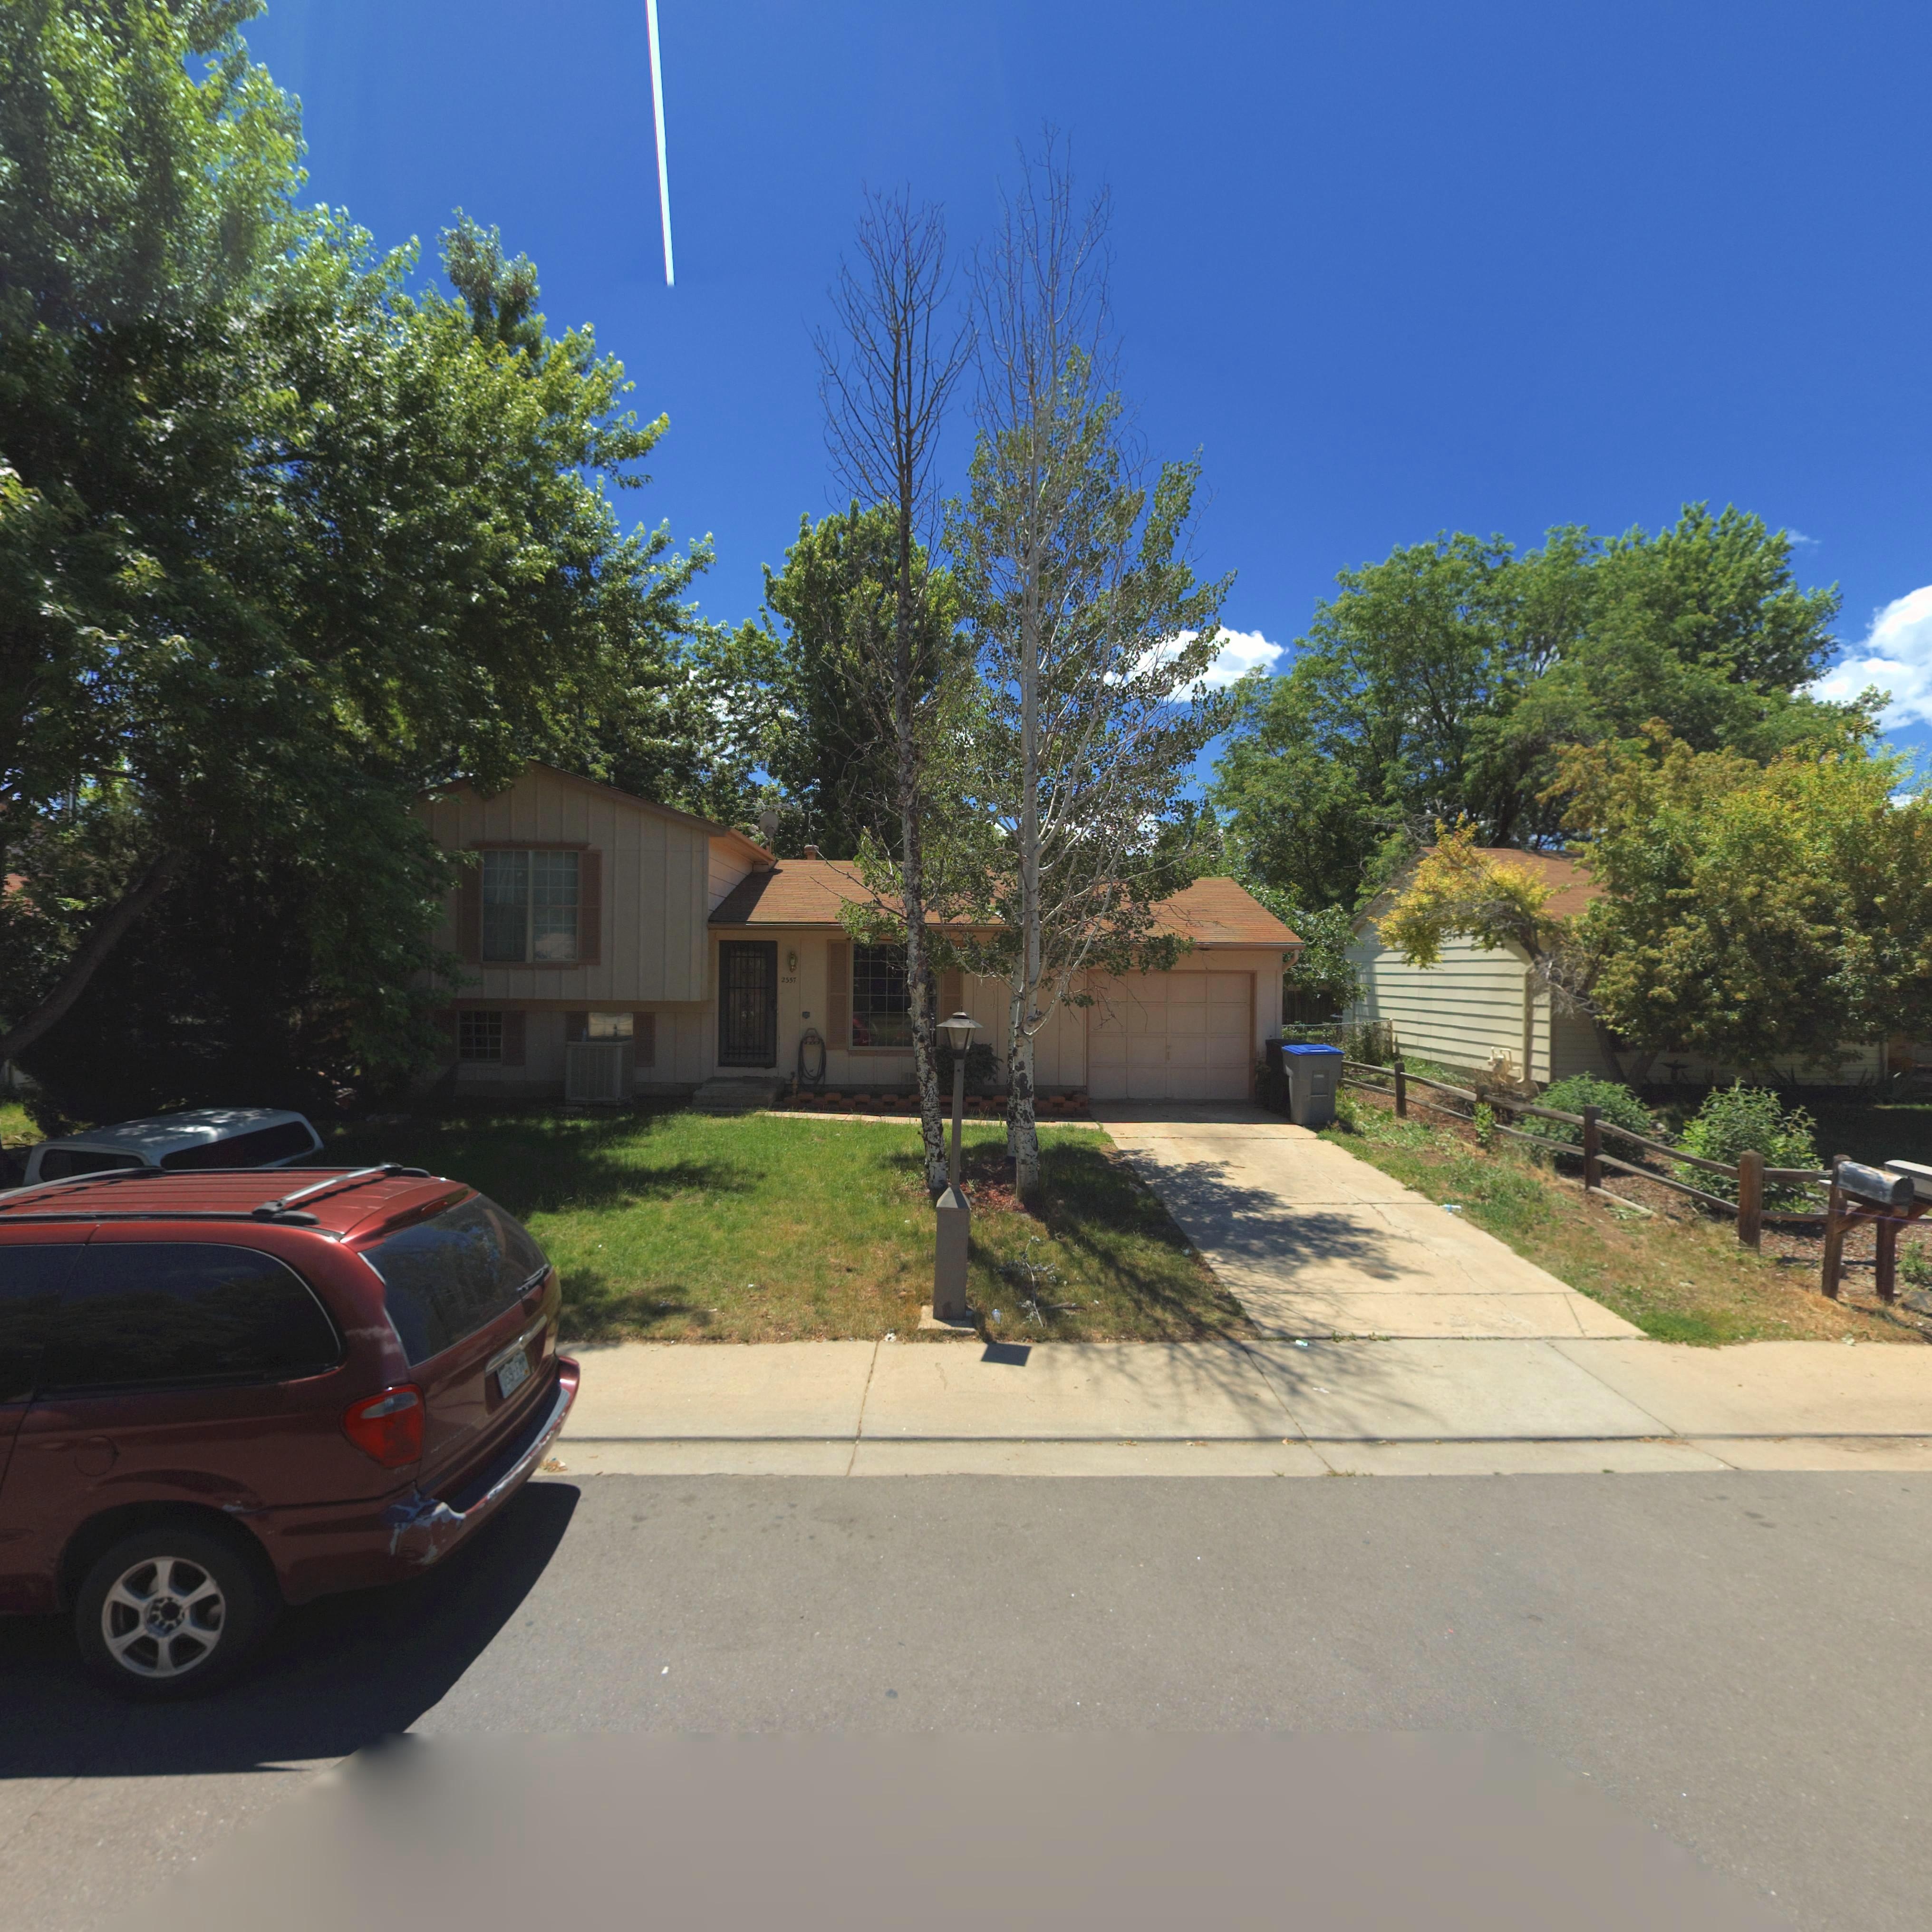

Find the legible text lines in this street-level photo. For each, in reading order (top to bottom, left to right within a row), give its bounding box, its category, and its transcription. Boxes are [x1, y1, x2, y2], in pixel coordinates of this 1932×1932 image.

[781, 976, 797, 984] StreetNumber: 2357